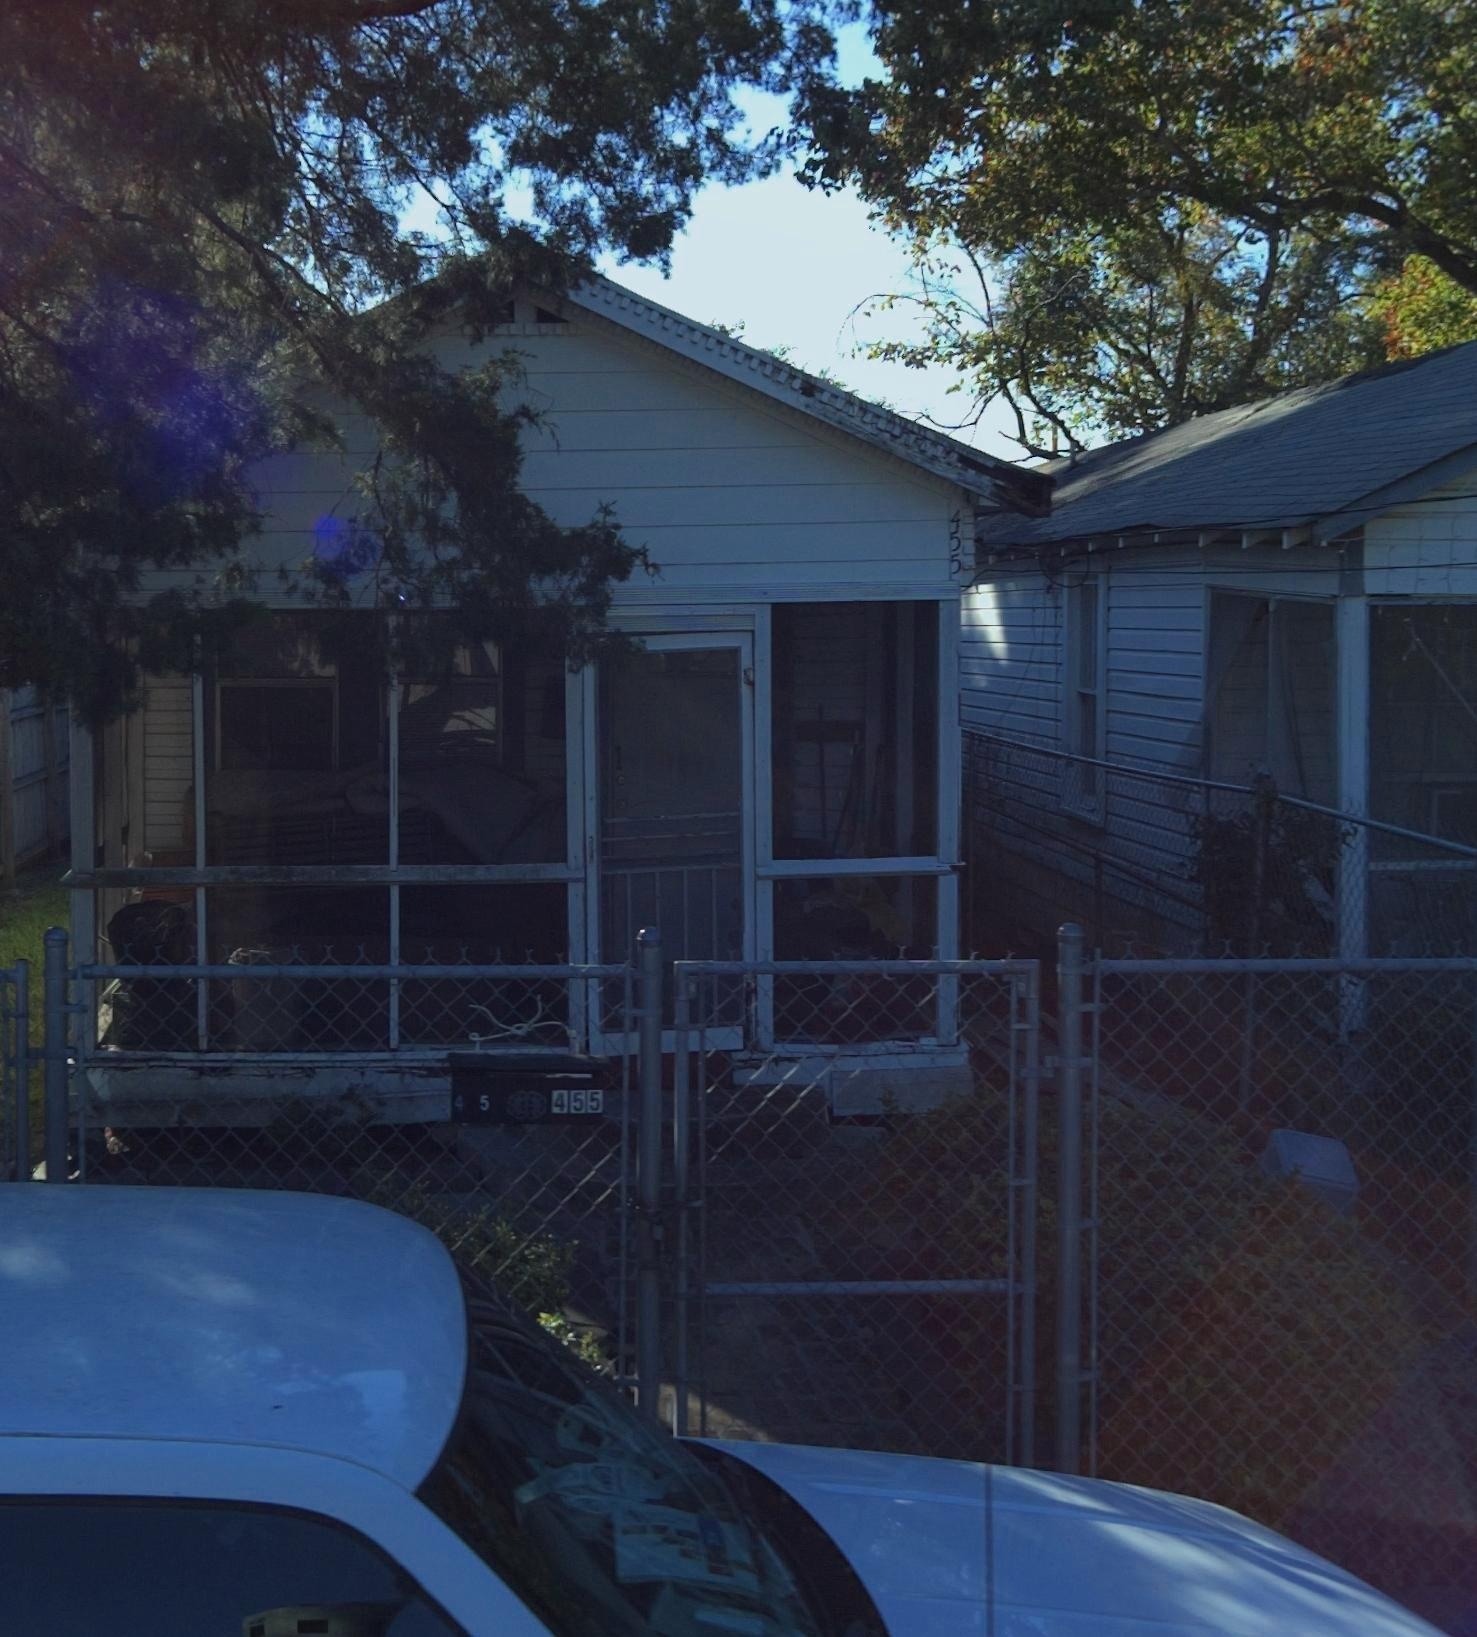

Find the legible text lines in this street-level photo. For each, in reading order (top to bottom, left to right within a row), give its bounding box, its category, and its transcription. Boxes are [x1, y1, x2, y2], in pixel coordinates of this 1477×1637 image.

[949, 507, 964, 576] StreetNumber: 455
[452, 1092, 465, 1113] None: 4
[477, 1092, 492, 1113] None: 5
[552, 1089, 602, 1114] StreetNumber: 455